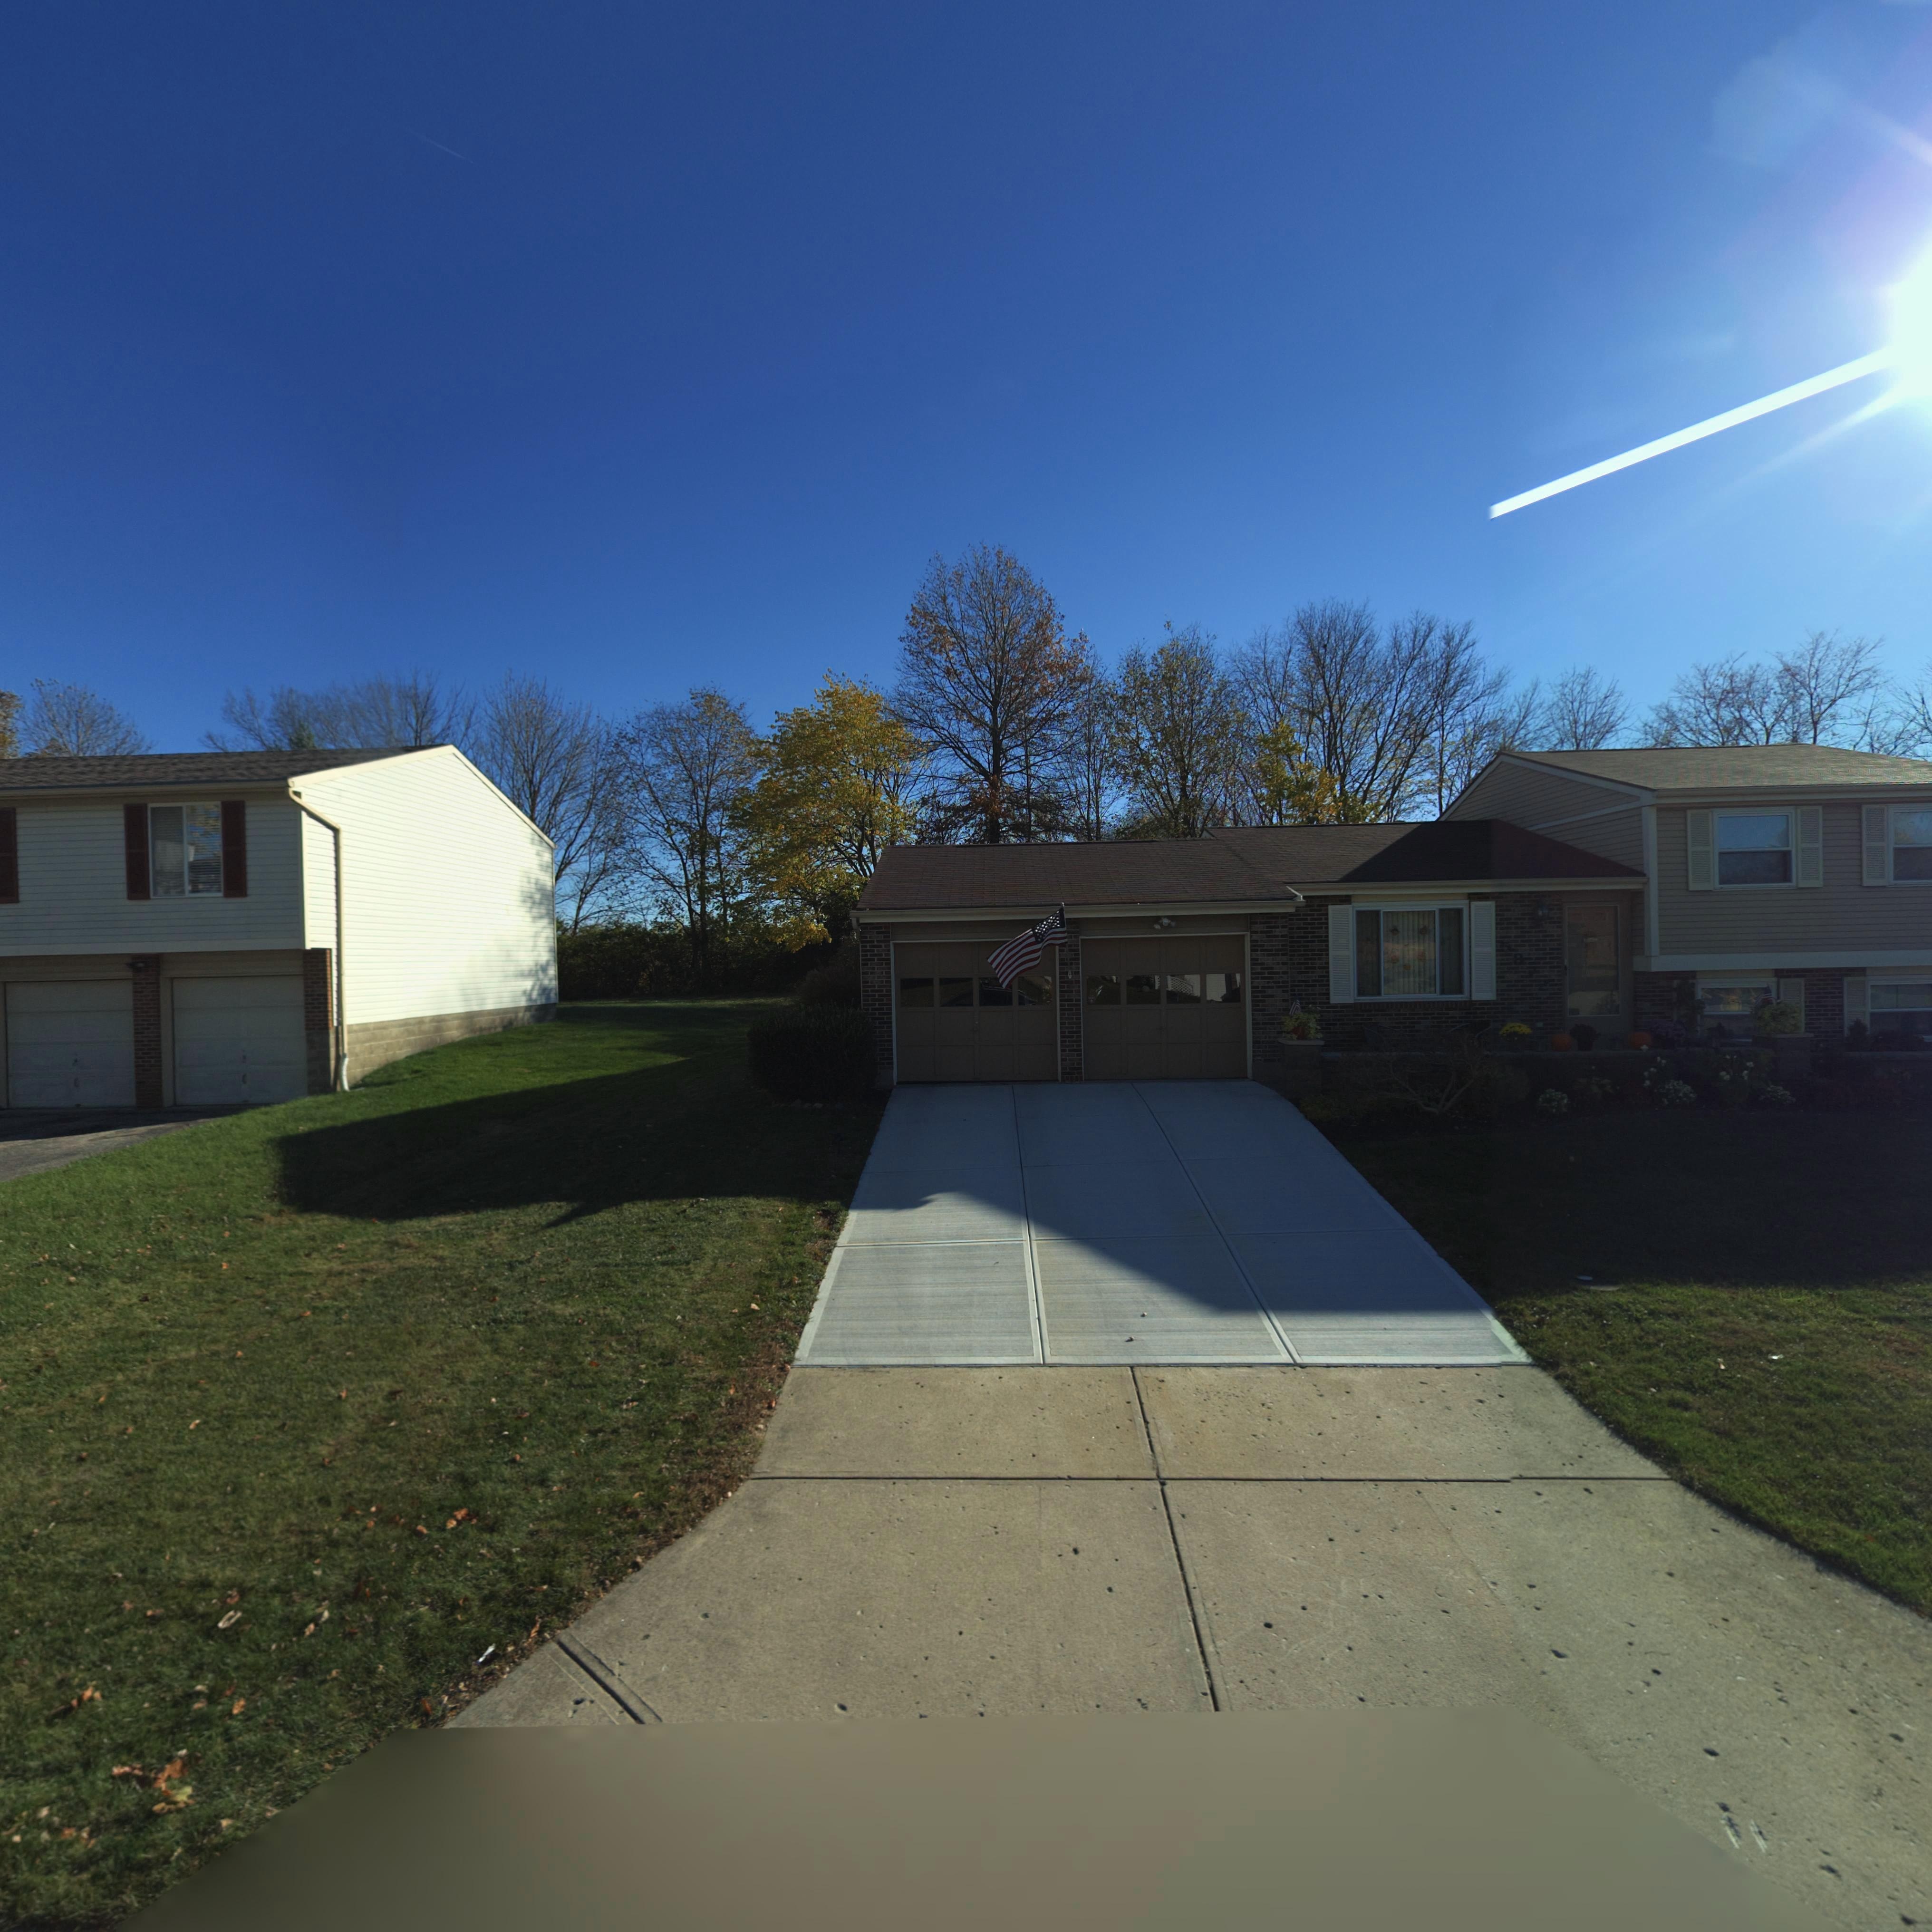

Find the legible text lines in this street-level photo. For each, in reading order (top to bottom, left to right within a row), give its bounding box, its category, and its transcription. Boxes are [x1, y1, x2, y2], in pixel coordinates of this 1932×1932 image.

[1500, 940, 1550, 992] StreetNumber: 5872